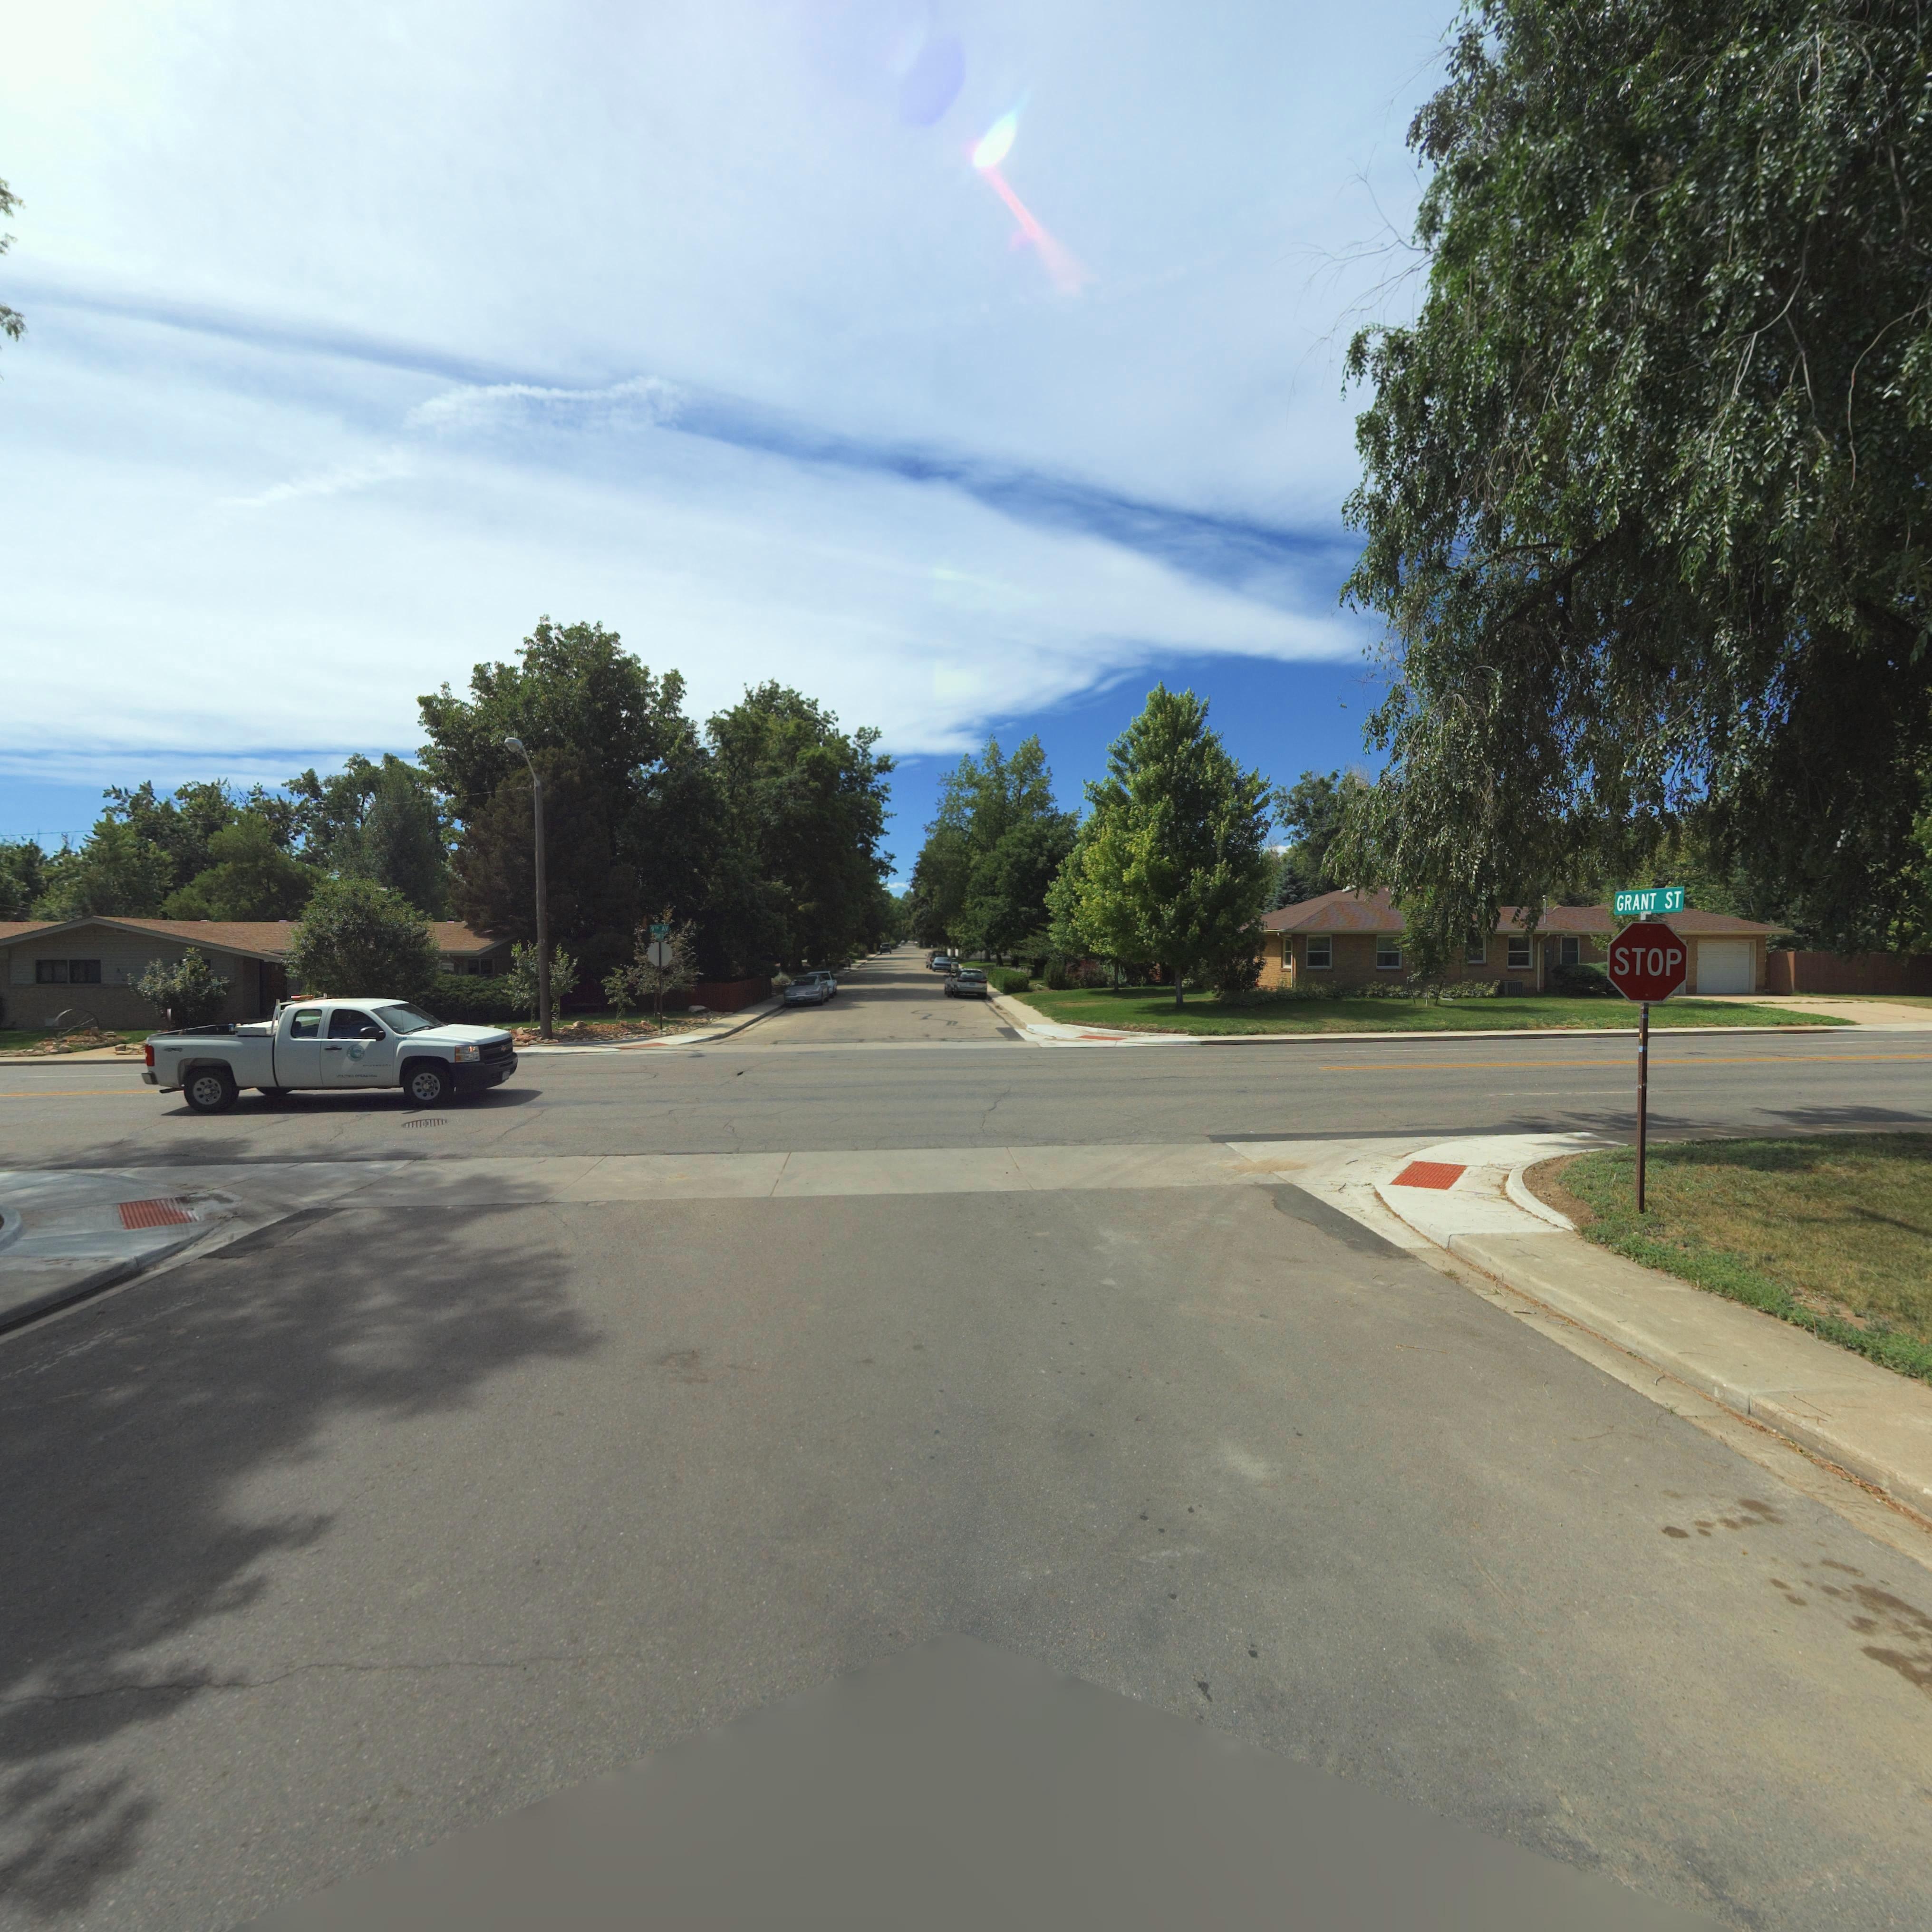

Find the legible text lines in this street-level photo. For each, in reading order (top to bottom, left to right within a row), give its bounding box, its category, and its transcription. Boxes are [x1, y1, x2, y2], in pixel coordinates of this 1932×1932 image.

[1616, 890, 1682, 911] StreetName: GRANT ST
[650, 926, 668, 931] StreetName: 9TH AV